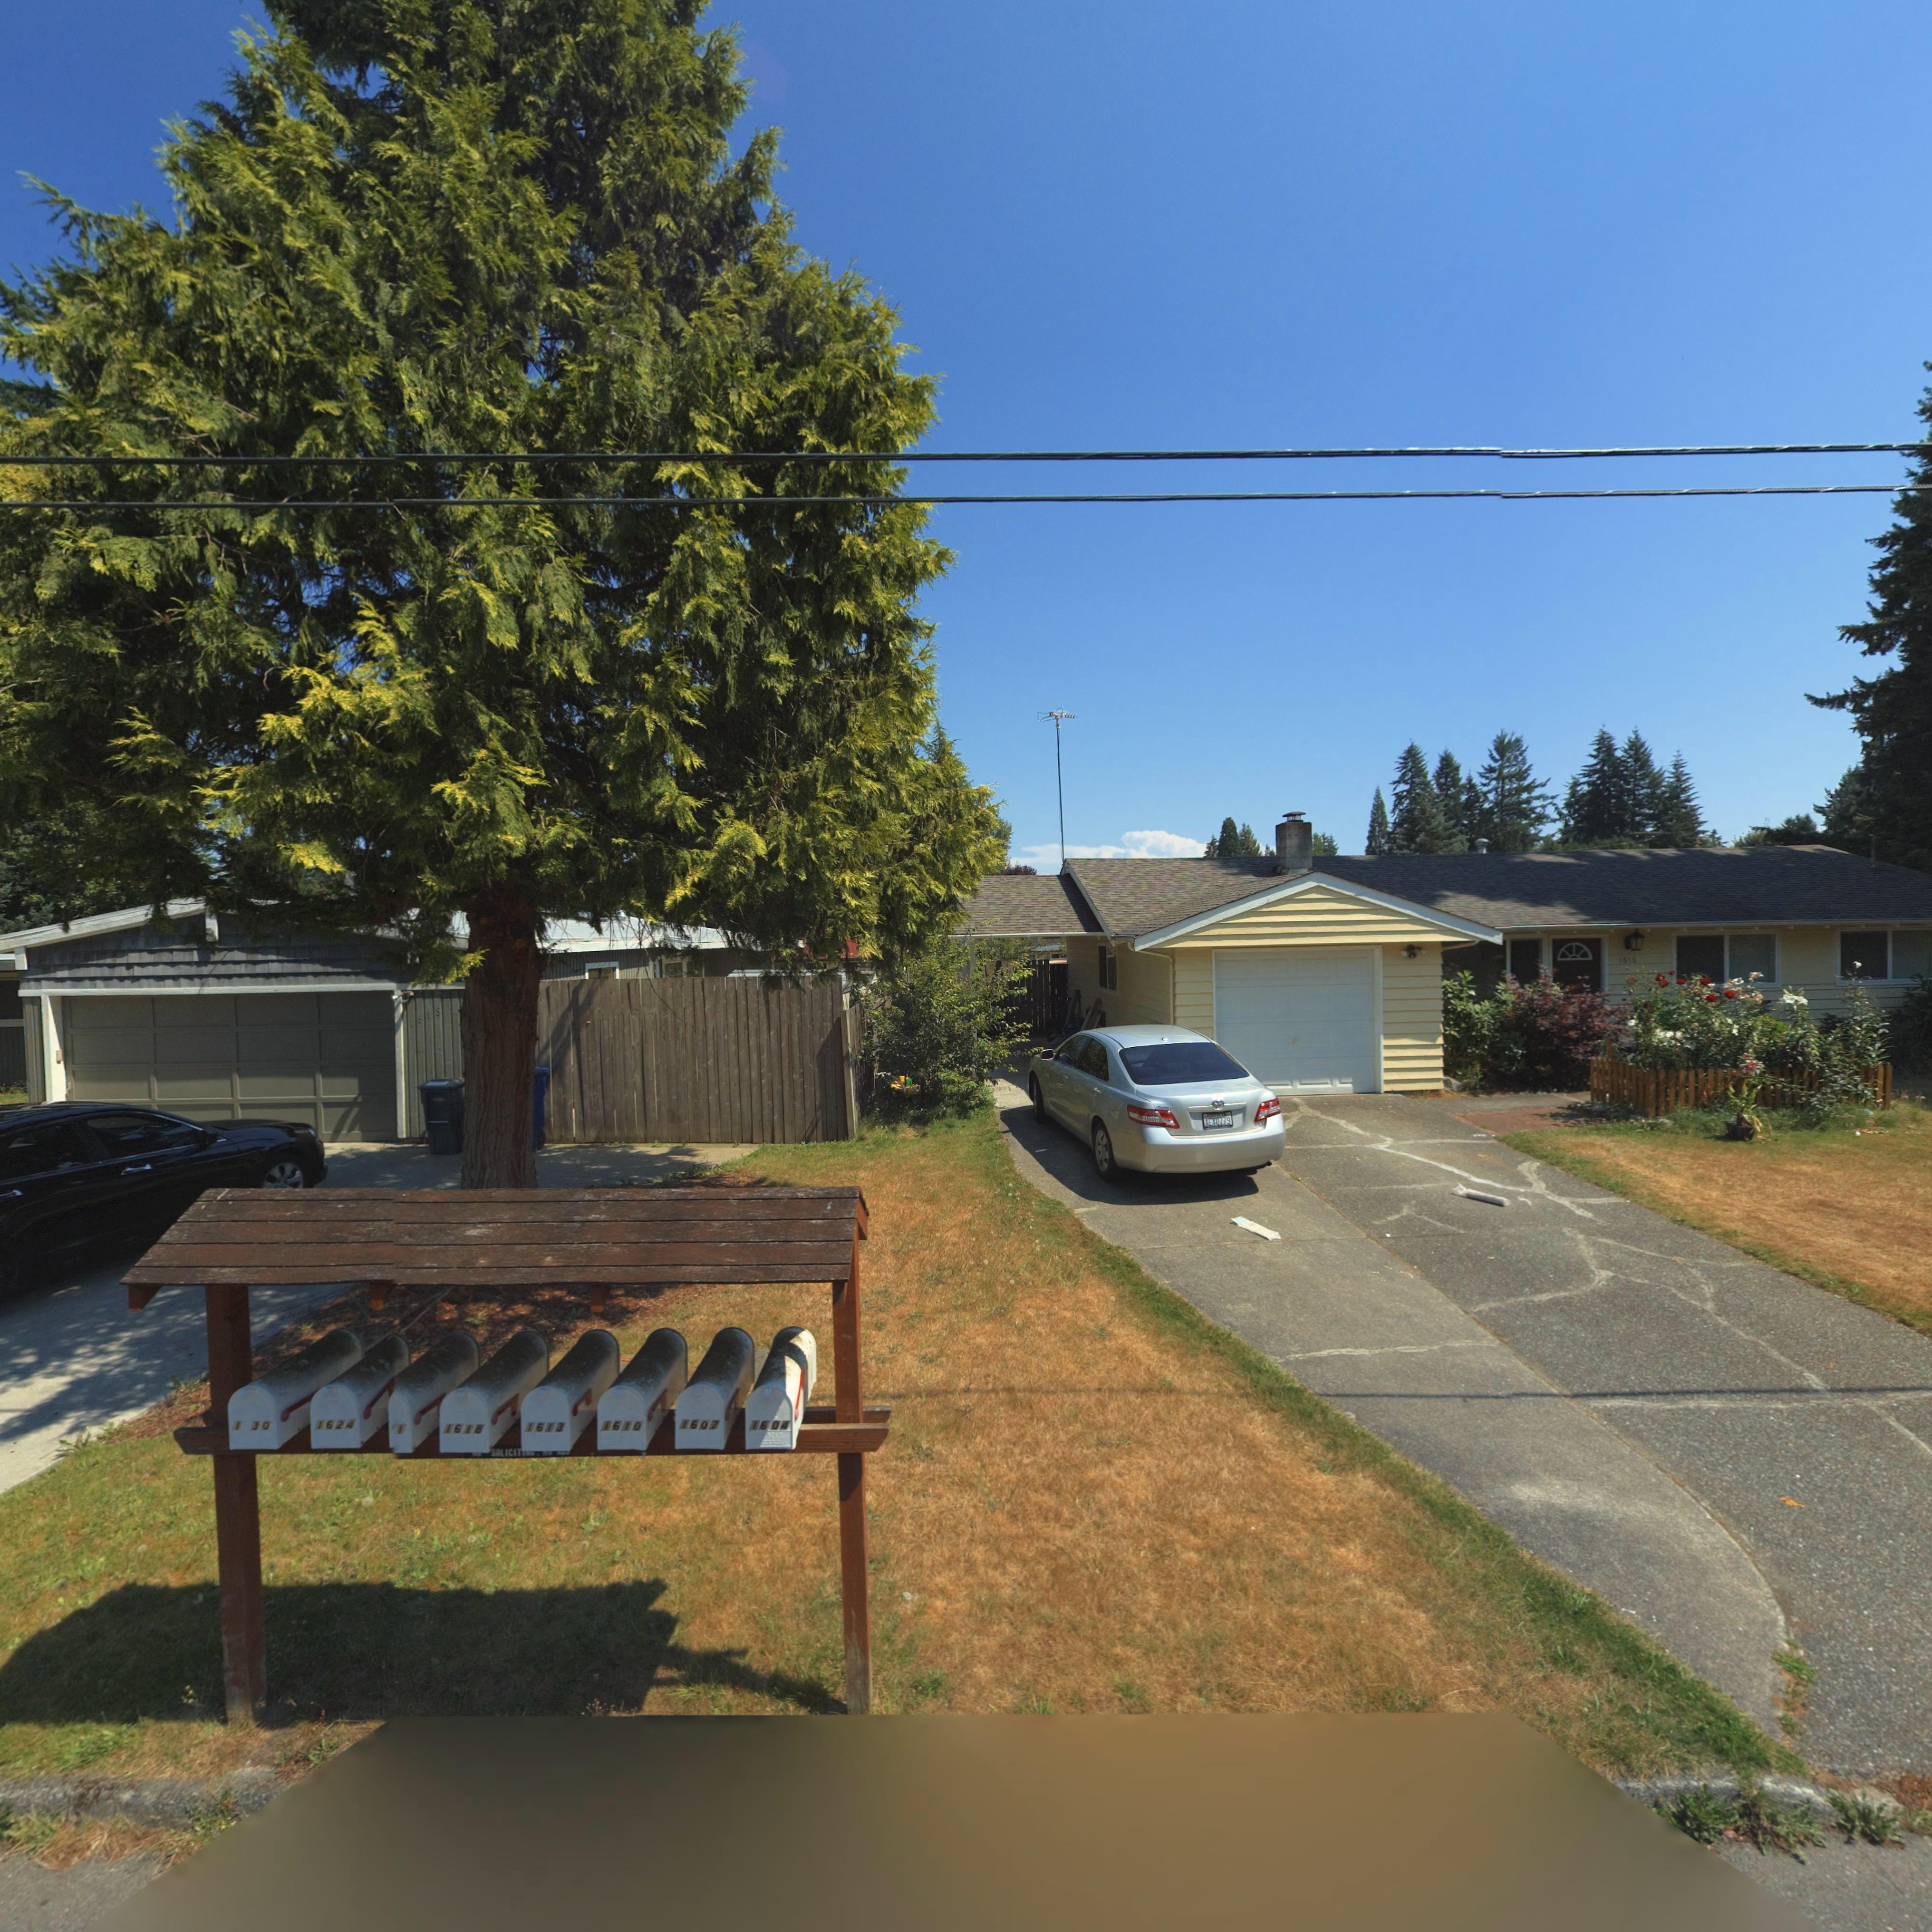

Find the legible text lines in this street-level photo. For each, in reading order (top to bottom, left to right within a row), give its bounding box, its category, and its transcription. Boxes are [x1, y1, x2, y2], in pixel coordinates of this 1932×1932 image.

[316, 1418, 356, 1433] StreetNumber: 1624
[444, 1424, 484, 1435] None: 1618
[603, 1420, 644, 1431] StreetNumber: 1610